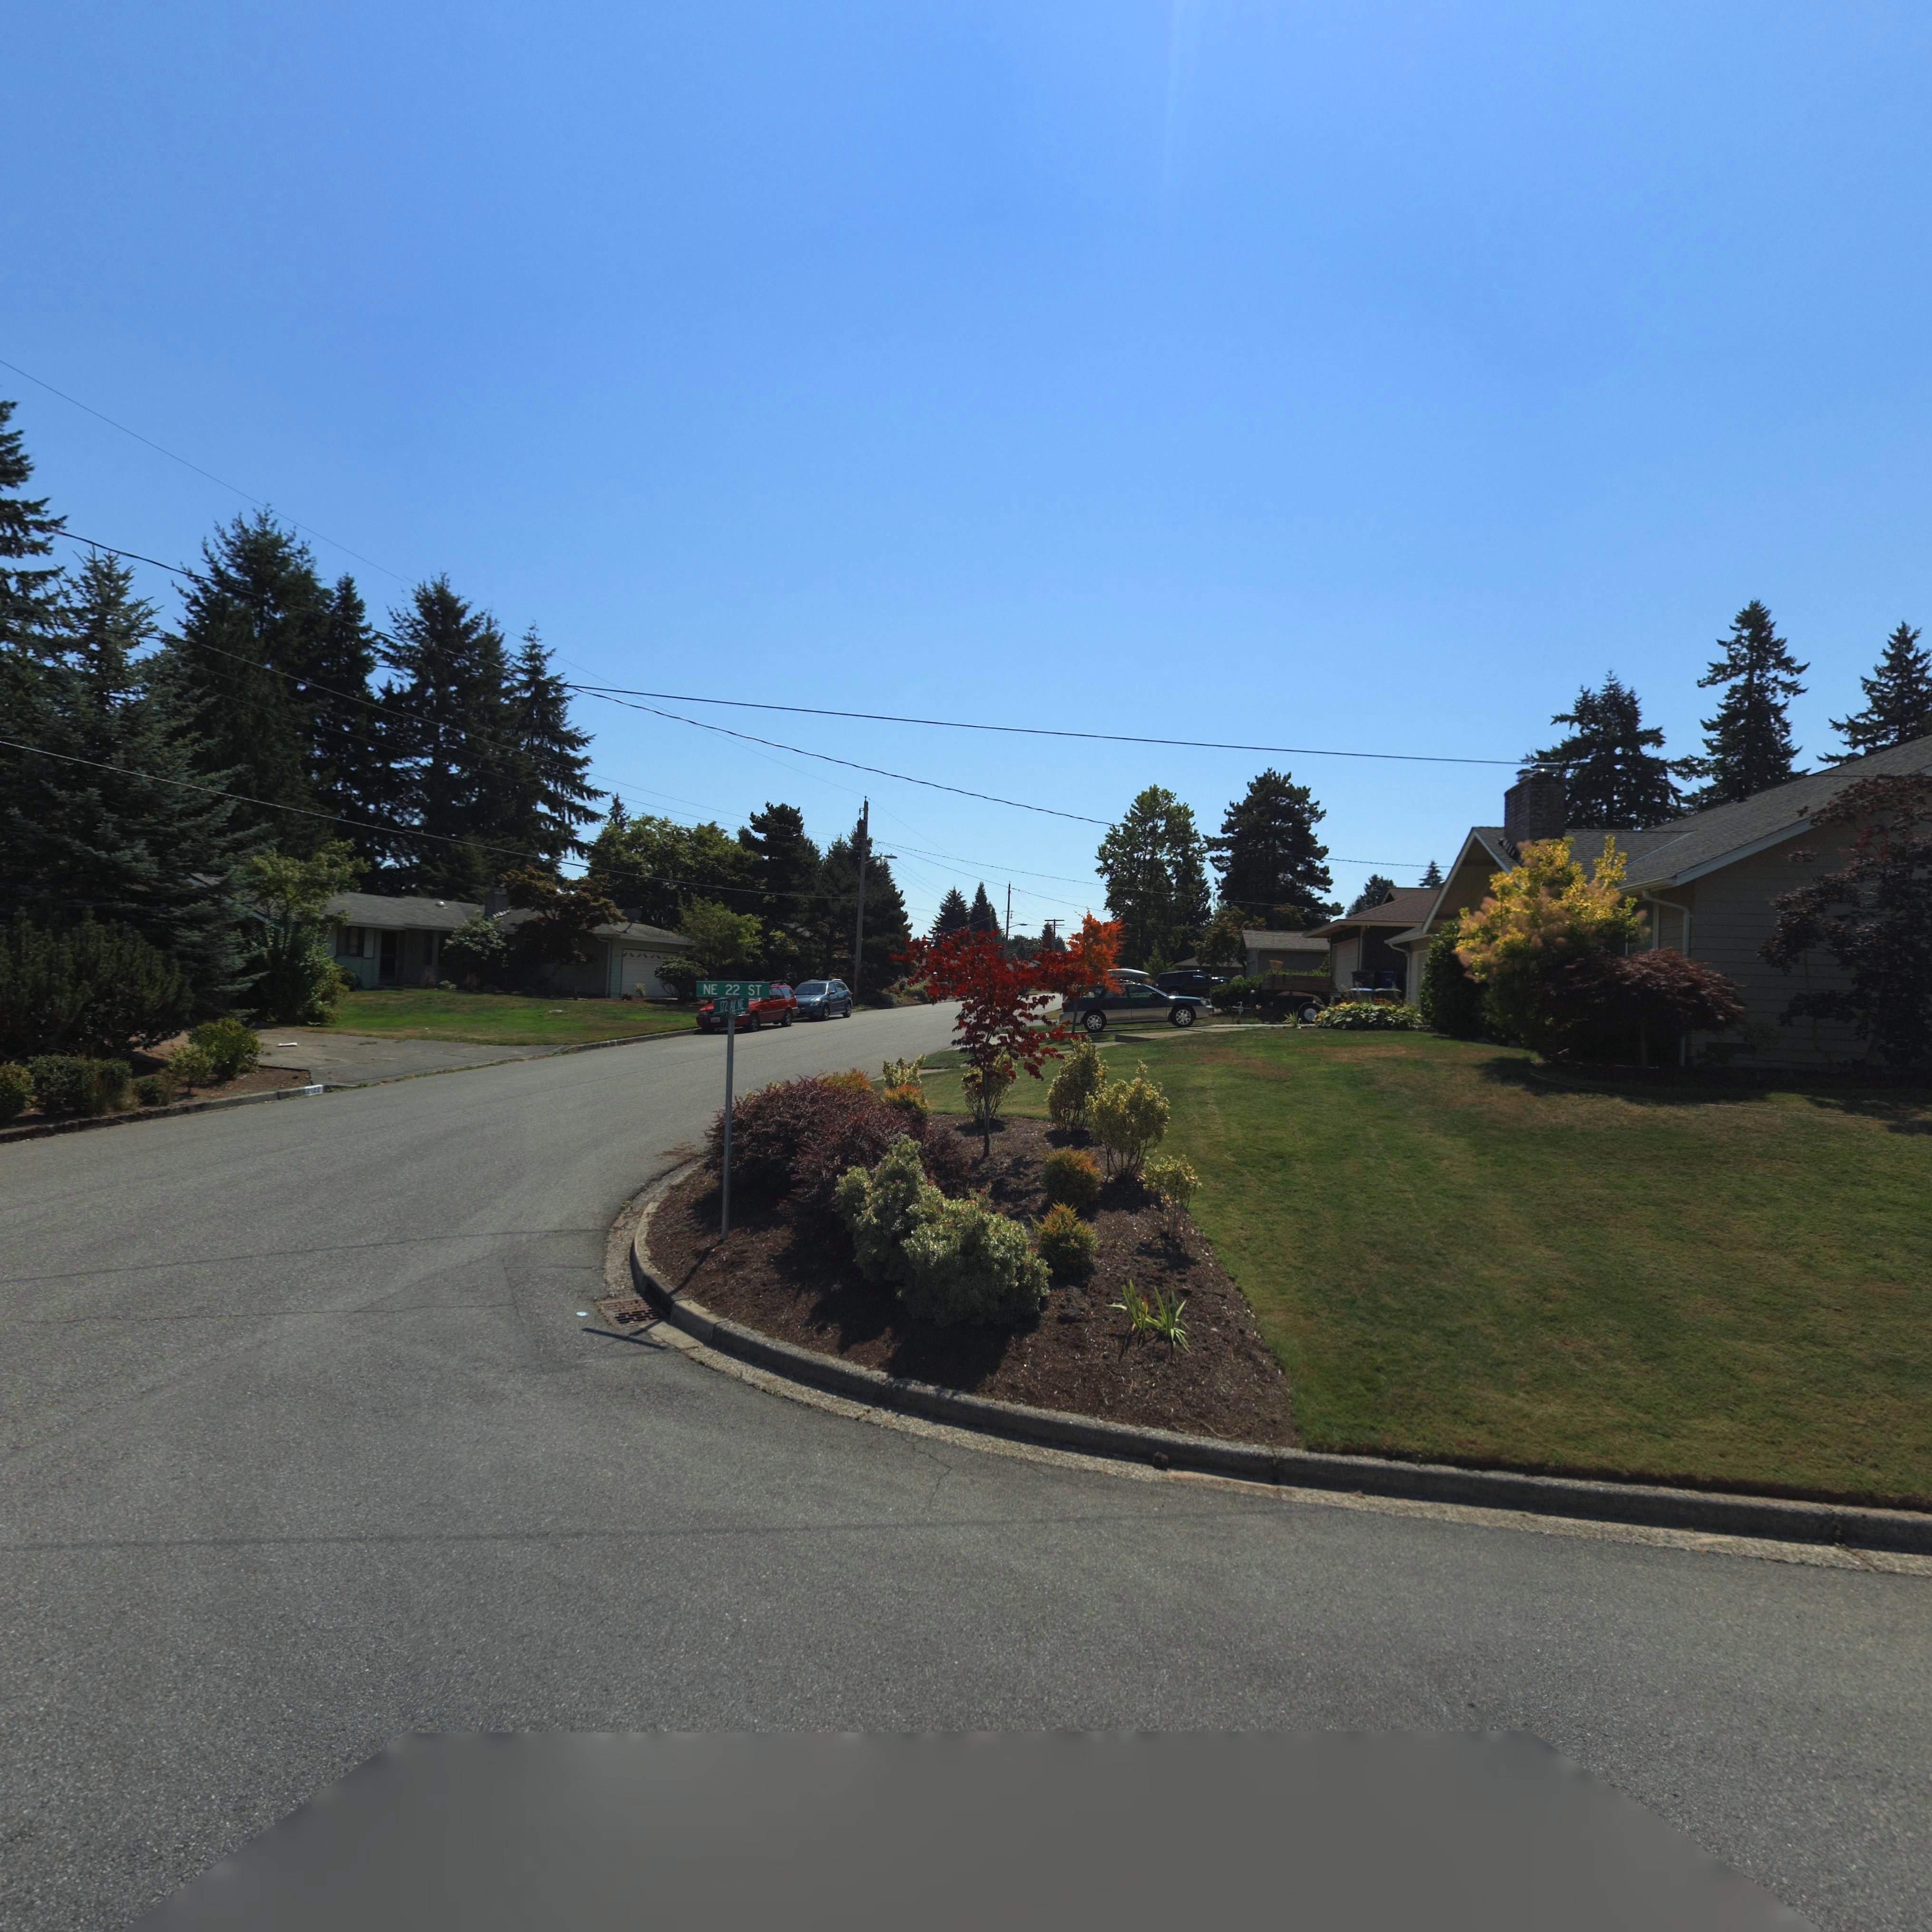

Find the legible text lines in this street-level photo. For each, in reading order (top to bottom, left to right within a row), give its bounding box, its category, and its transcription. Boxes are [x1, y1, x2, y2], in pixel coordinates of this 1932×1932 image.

[704, 984, 761, 995] StreetName: NE 22 ST
[717, 998, 744, 1014] StreetName: 172 AV NE